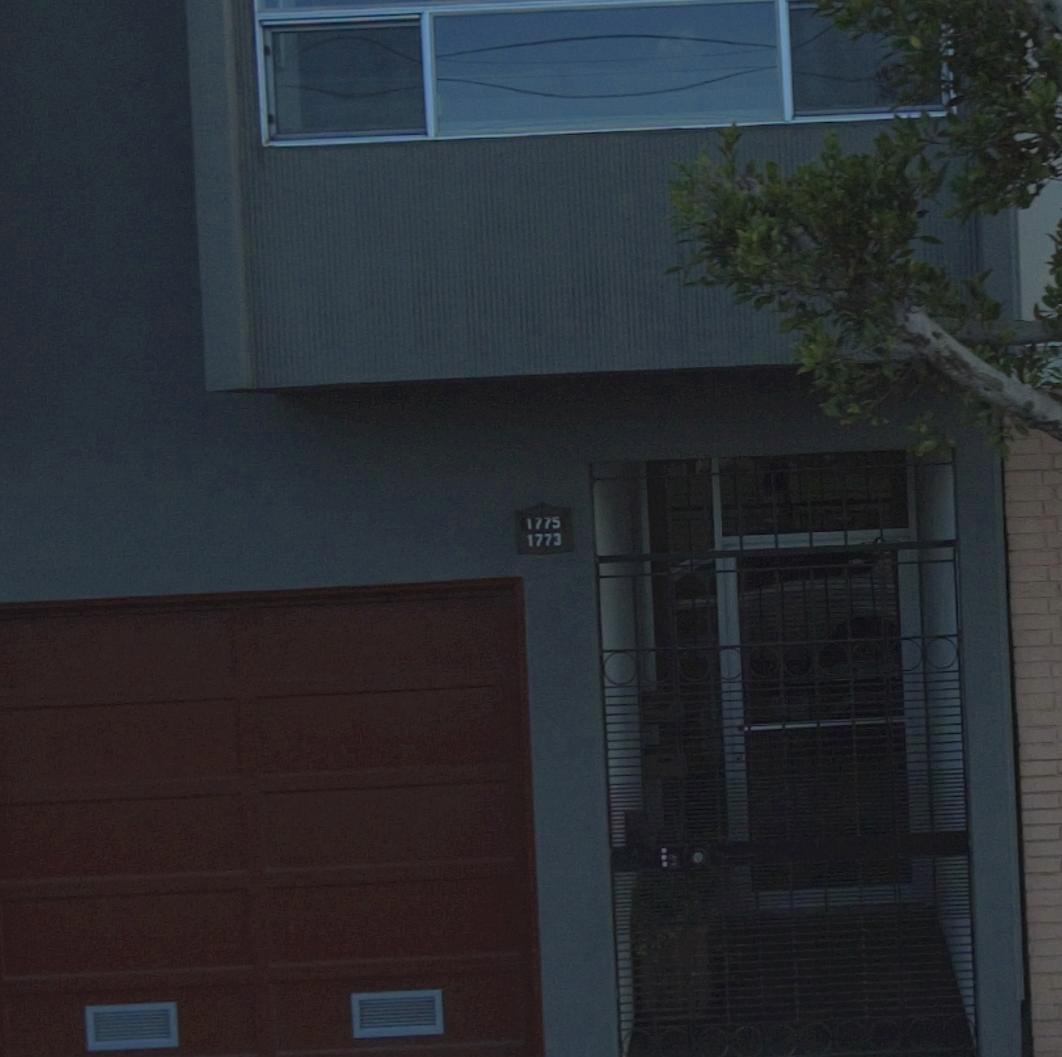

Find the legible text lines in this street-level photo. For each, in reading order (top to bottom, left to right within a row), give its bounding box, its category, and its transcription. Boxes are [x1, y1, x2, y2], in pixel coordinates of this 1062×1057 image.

[524, 513, 564, 533] StreetNumber: 1775
[524, 529, 565, 551] None: 1773